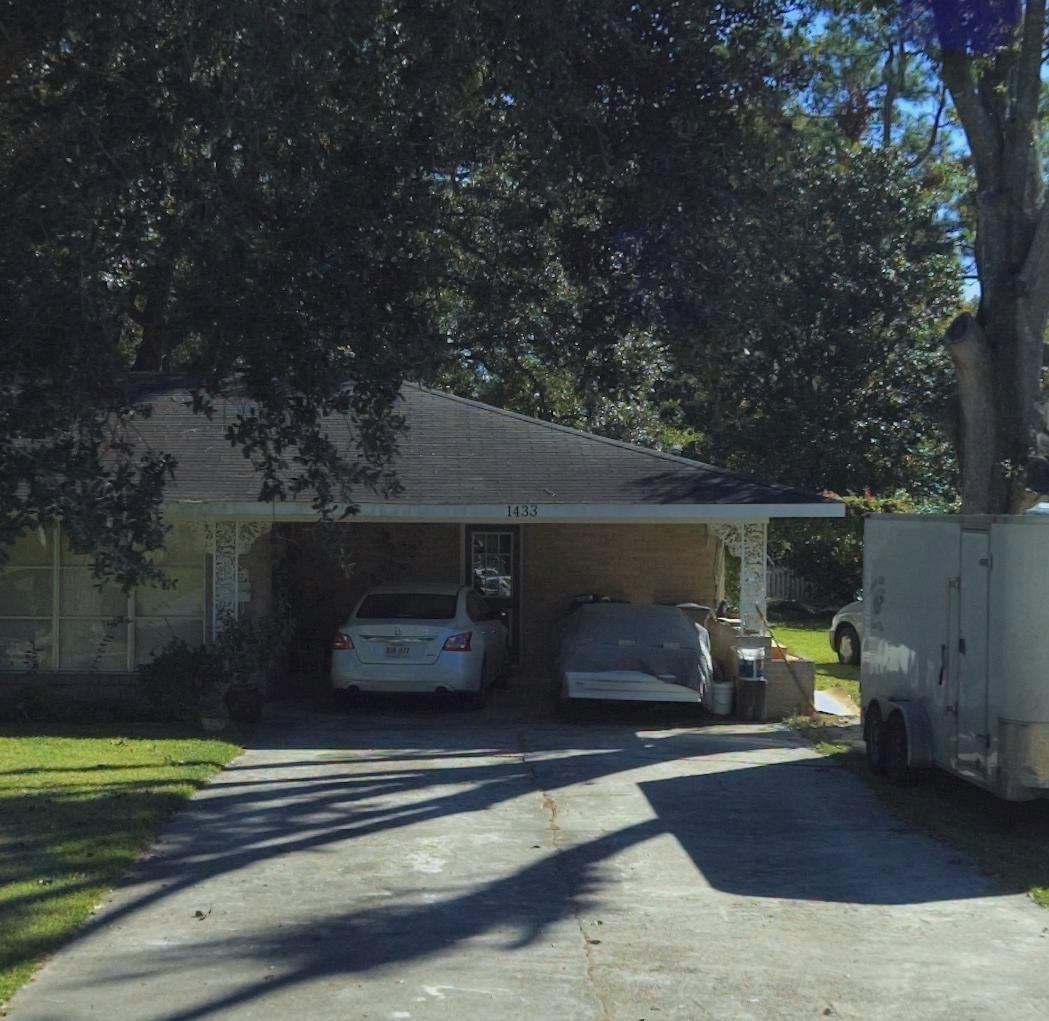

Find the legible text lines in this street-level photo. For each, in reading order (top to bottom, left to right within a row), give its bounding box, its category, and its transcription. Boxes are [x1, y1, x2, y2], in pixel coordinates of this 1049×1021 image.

[506, 502, 539, 519] StreetNumber: 1433